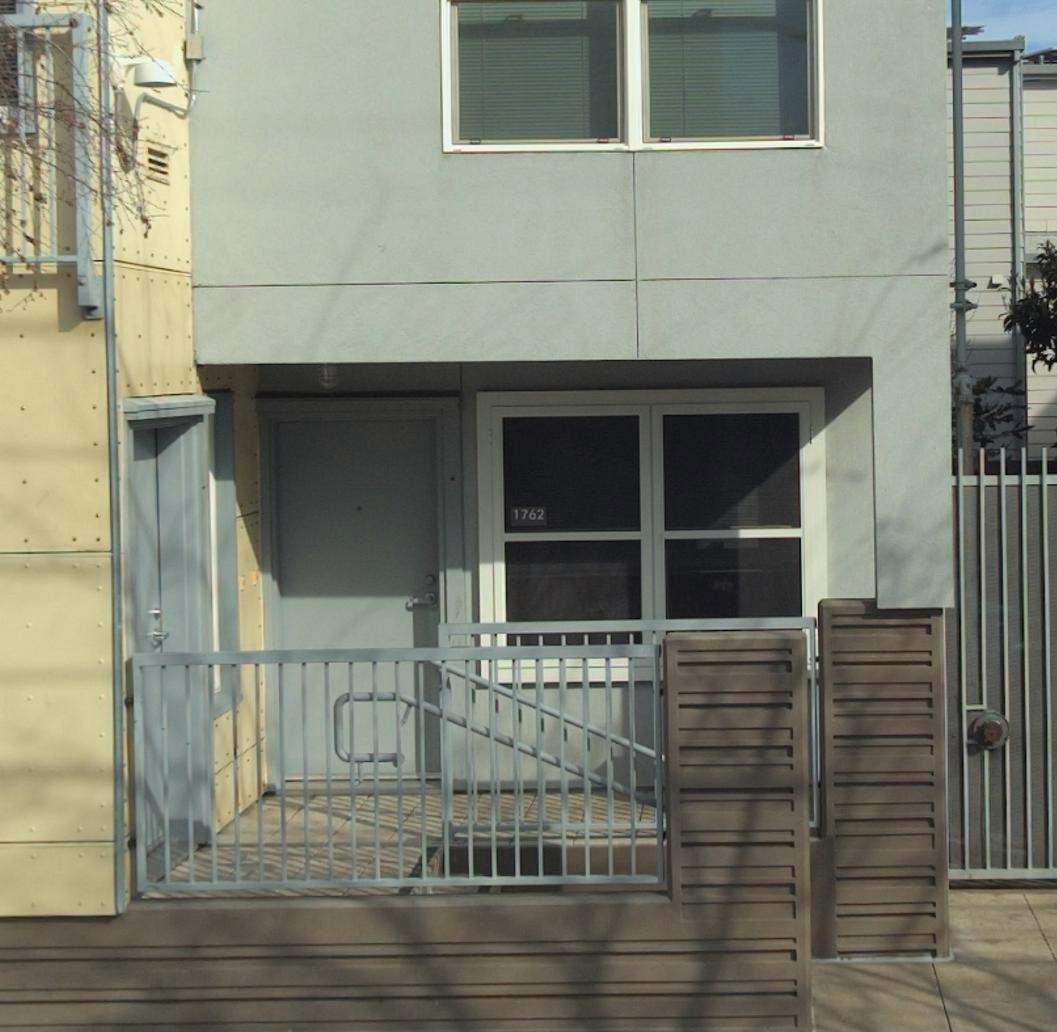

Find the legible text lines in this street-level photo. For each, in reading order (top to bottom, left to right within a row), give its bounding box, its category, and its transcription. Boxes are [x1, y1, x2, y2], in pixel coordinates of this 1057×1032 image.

[512, 507, 546, 522] StreetNumber: 1762